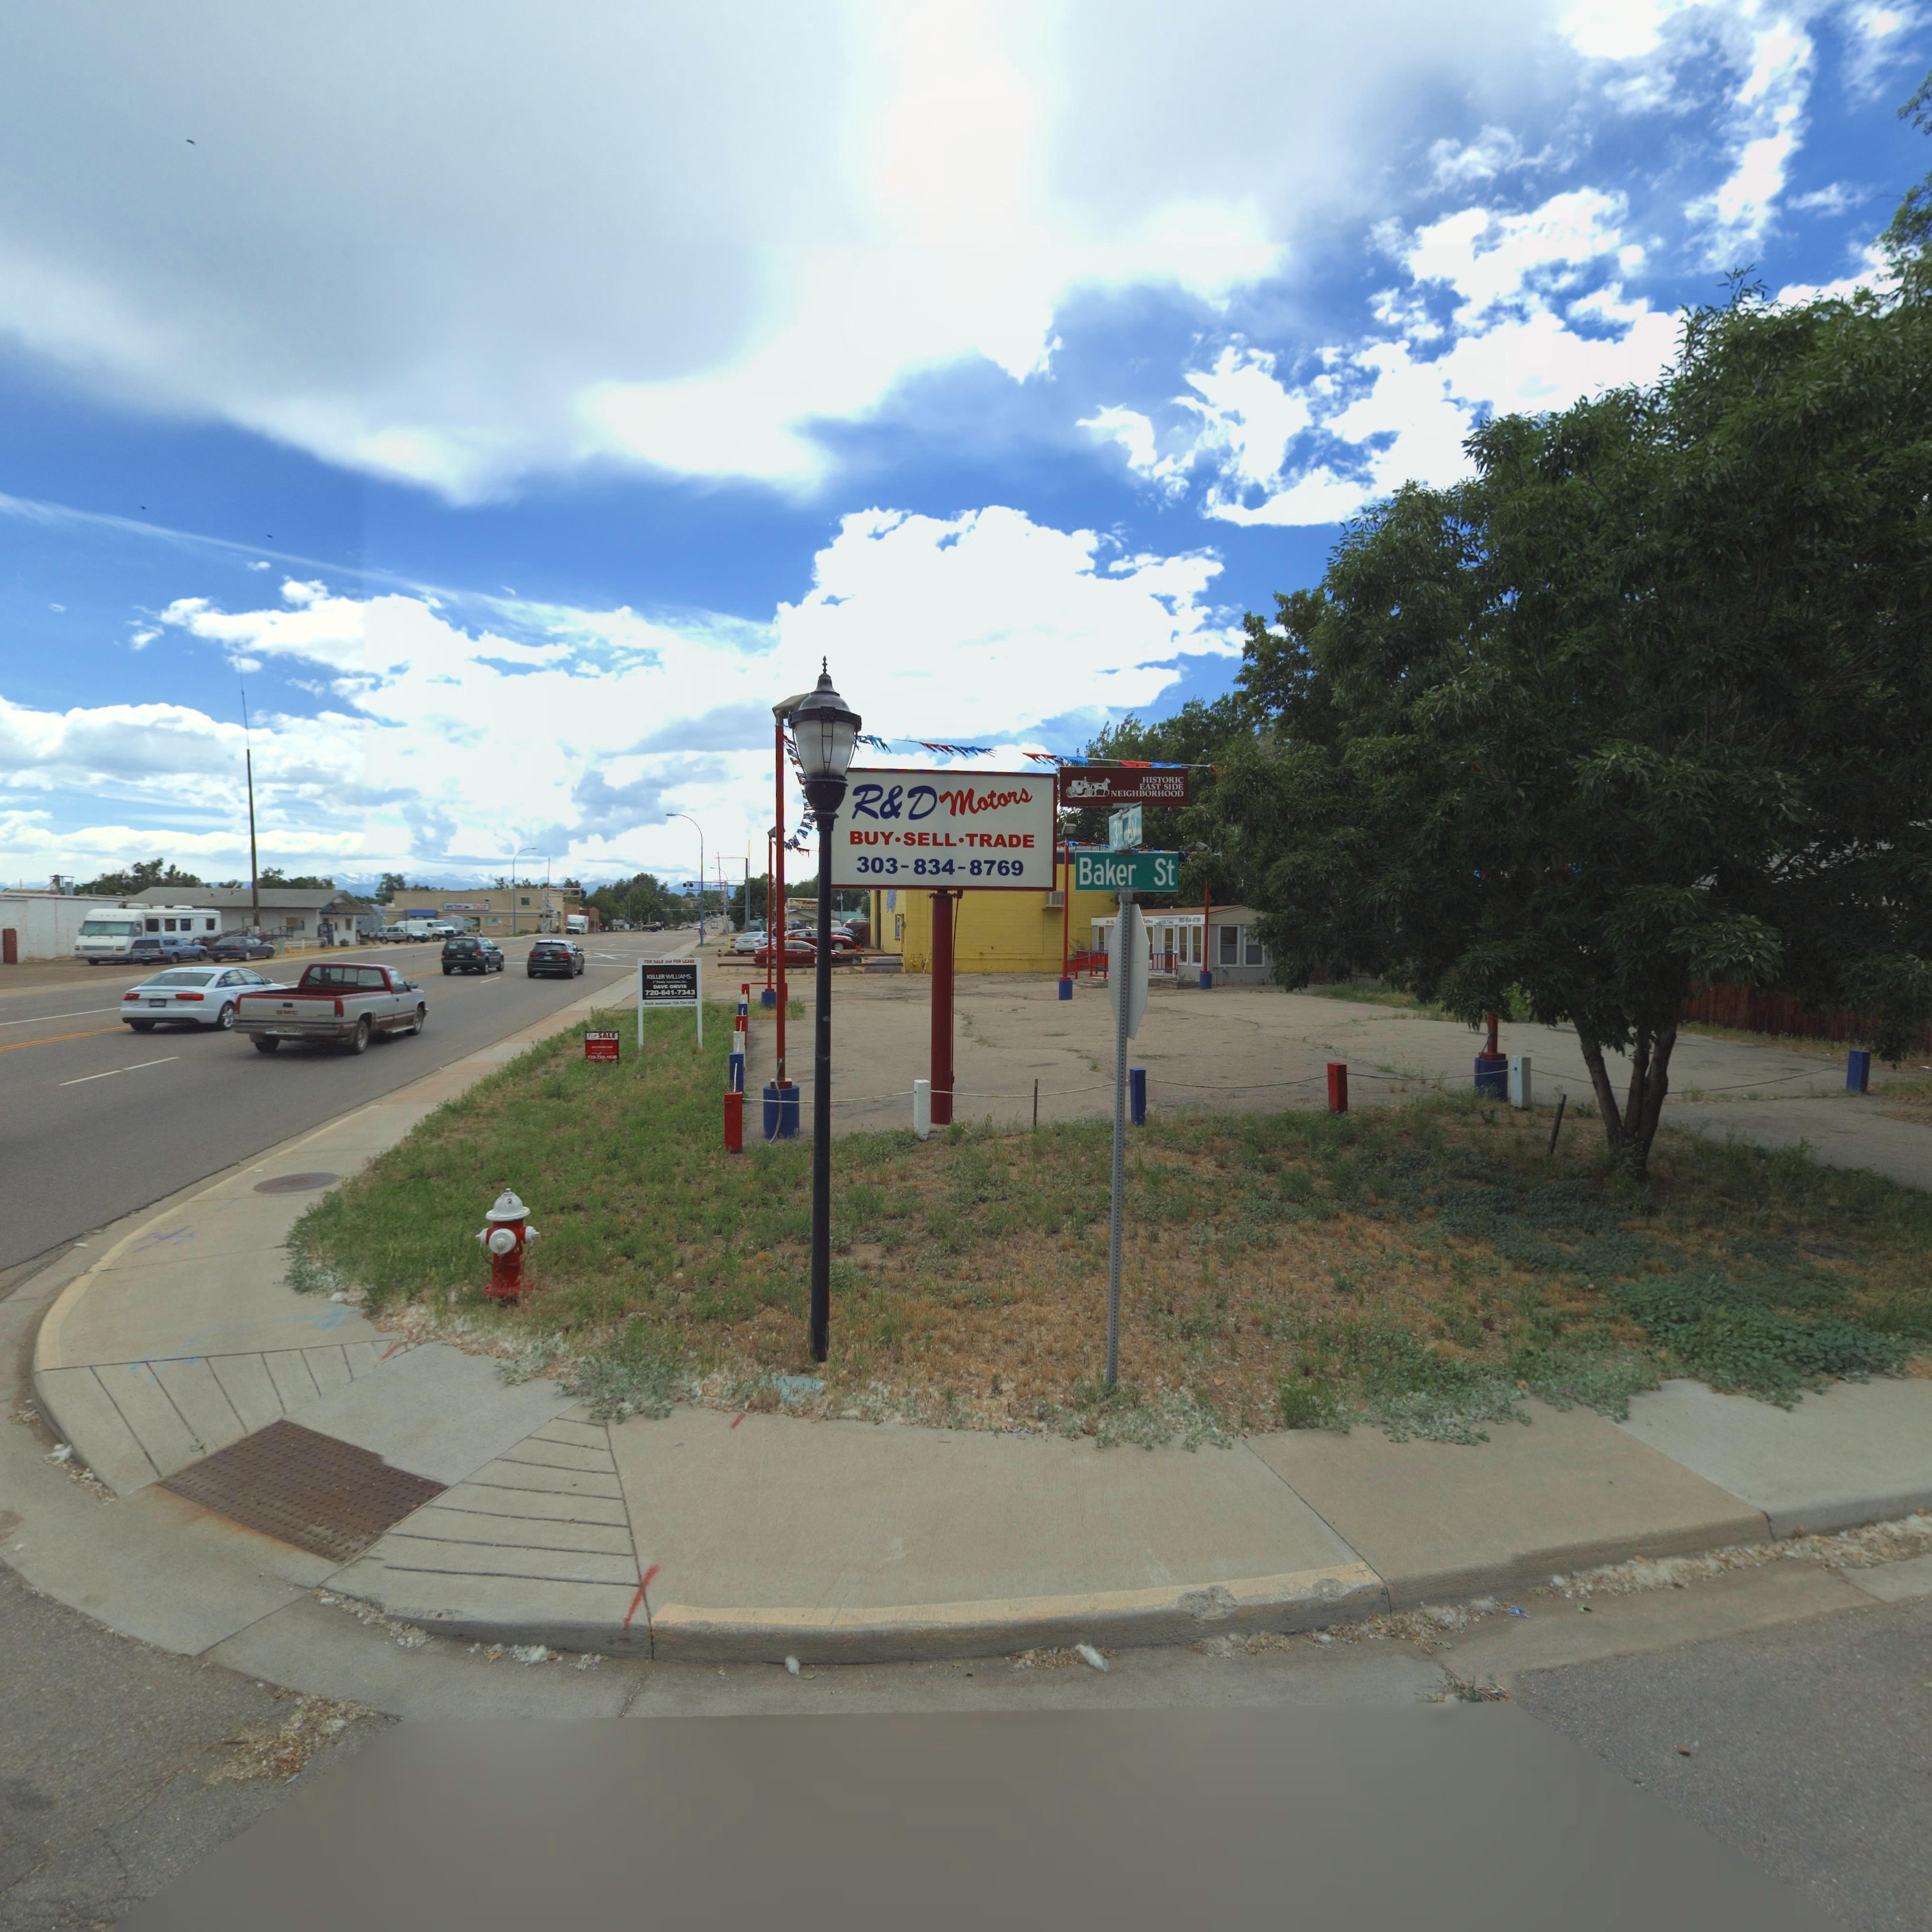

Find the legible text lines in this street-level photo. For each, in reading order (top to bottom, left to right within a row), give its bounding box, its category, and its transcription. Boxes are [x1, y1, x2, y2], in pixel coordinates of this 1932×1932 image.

[850, 783, 938, 821] BusinessName: R&D
[938, 787, 1033, 817] BusinessName: Motors
[1112, 813, 1137, 848] StreetName: 3rd Av
[1079, 856, 1175, 887] StreetName: Baker St
[445, 904, 464, 909] BusinessName: gerber
[1161, 920, 1166, 924] StreetNumber: 12*